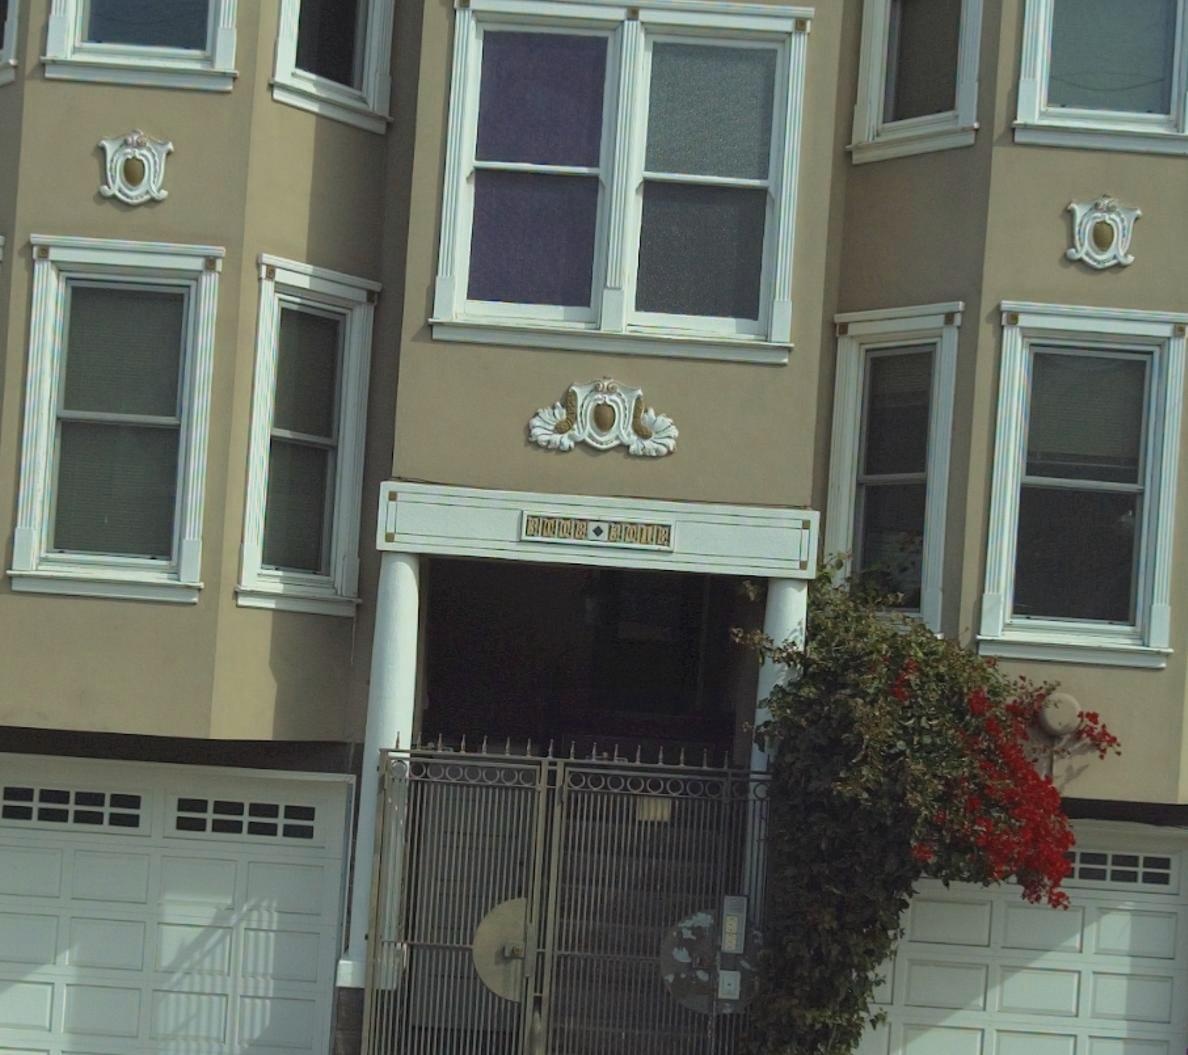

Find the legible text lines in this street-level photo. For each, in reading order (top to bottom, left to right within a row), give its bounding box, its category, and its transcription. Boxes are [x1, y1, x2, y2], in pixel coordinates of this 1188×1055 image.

[525, 516, 586, 541] StreetNumber: 3008
[608, 522, 671, 547] StreetNumber: 3018